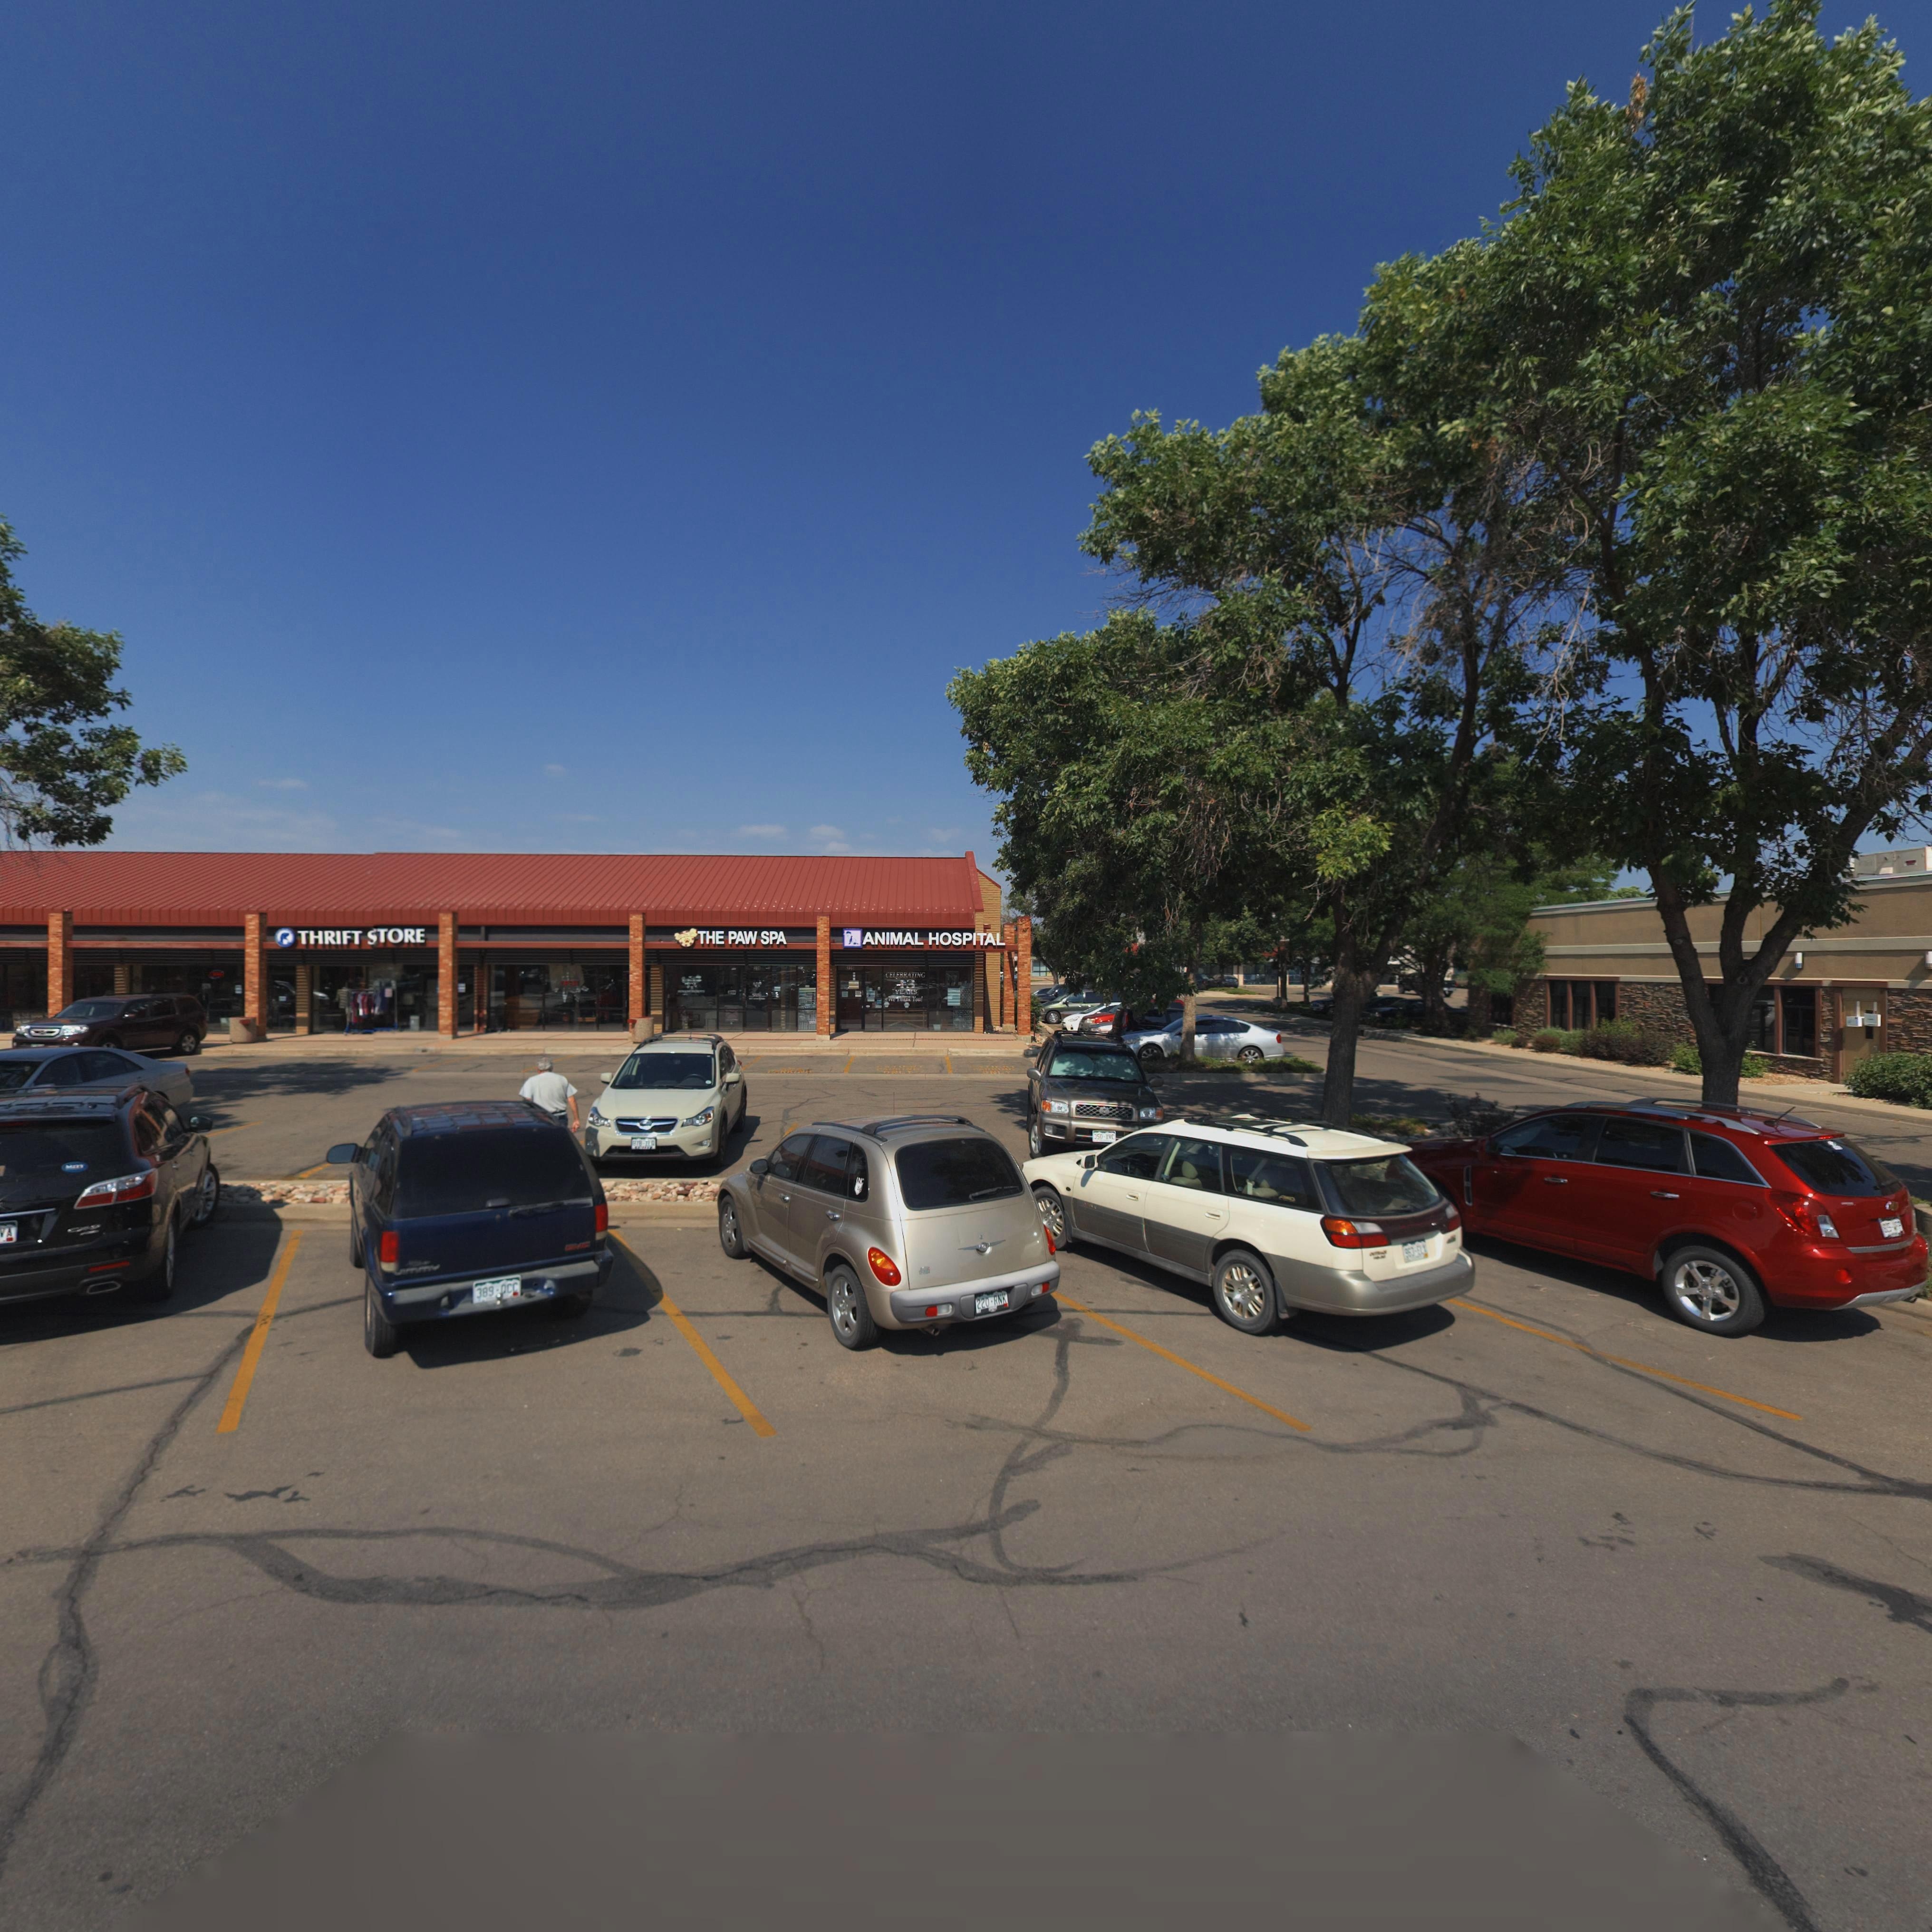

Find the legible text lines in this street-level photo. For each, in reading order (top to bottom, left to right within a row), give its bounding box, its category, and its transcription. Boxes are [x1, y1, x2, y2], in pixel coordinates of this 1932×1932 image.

[696, 930, 787, 945] BusinessName: THE PAW SPA
[847, 966, 854, 970] StreetNumber: 220